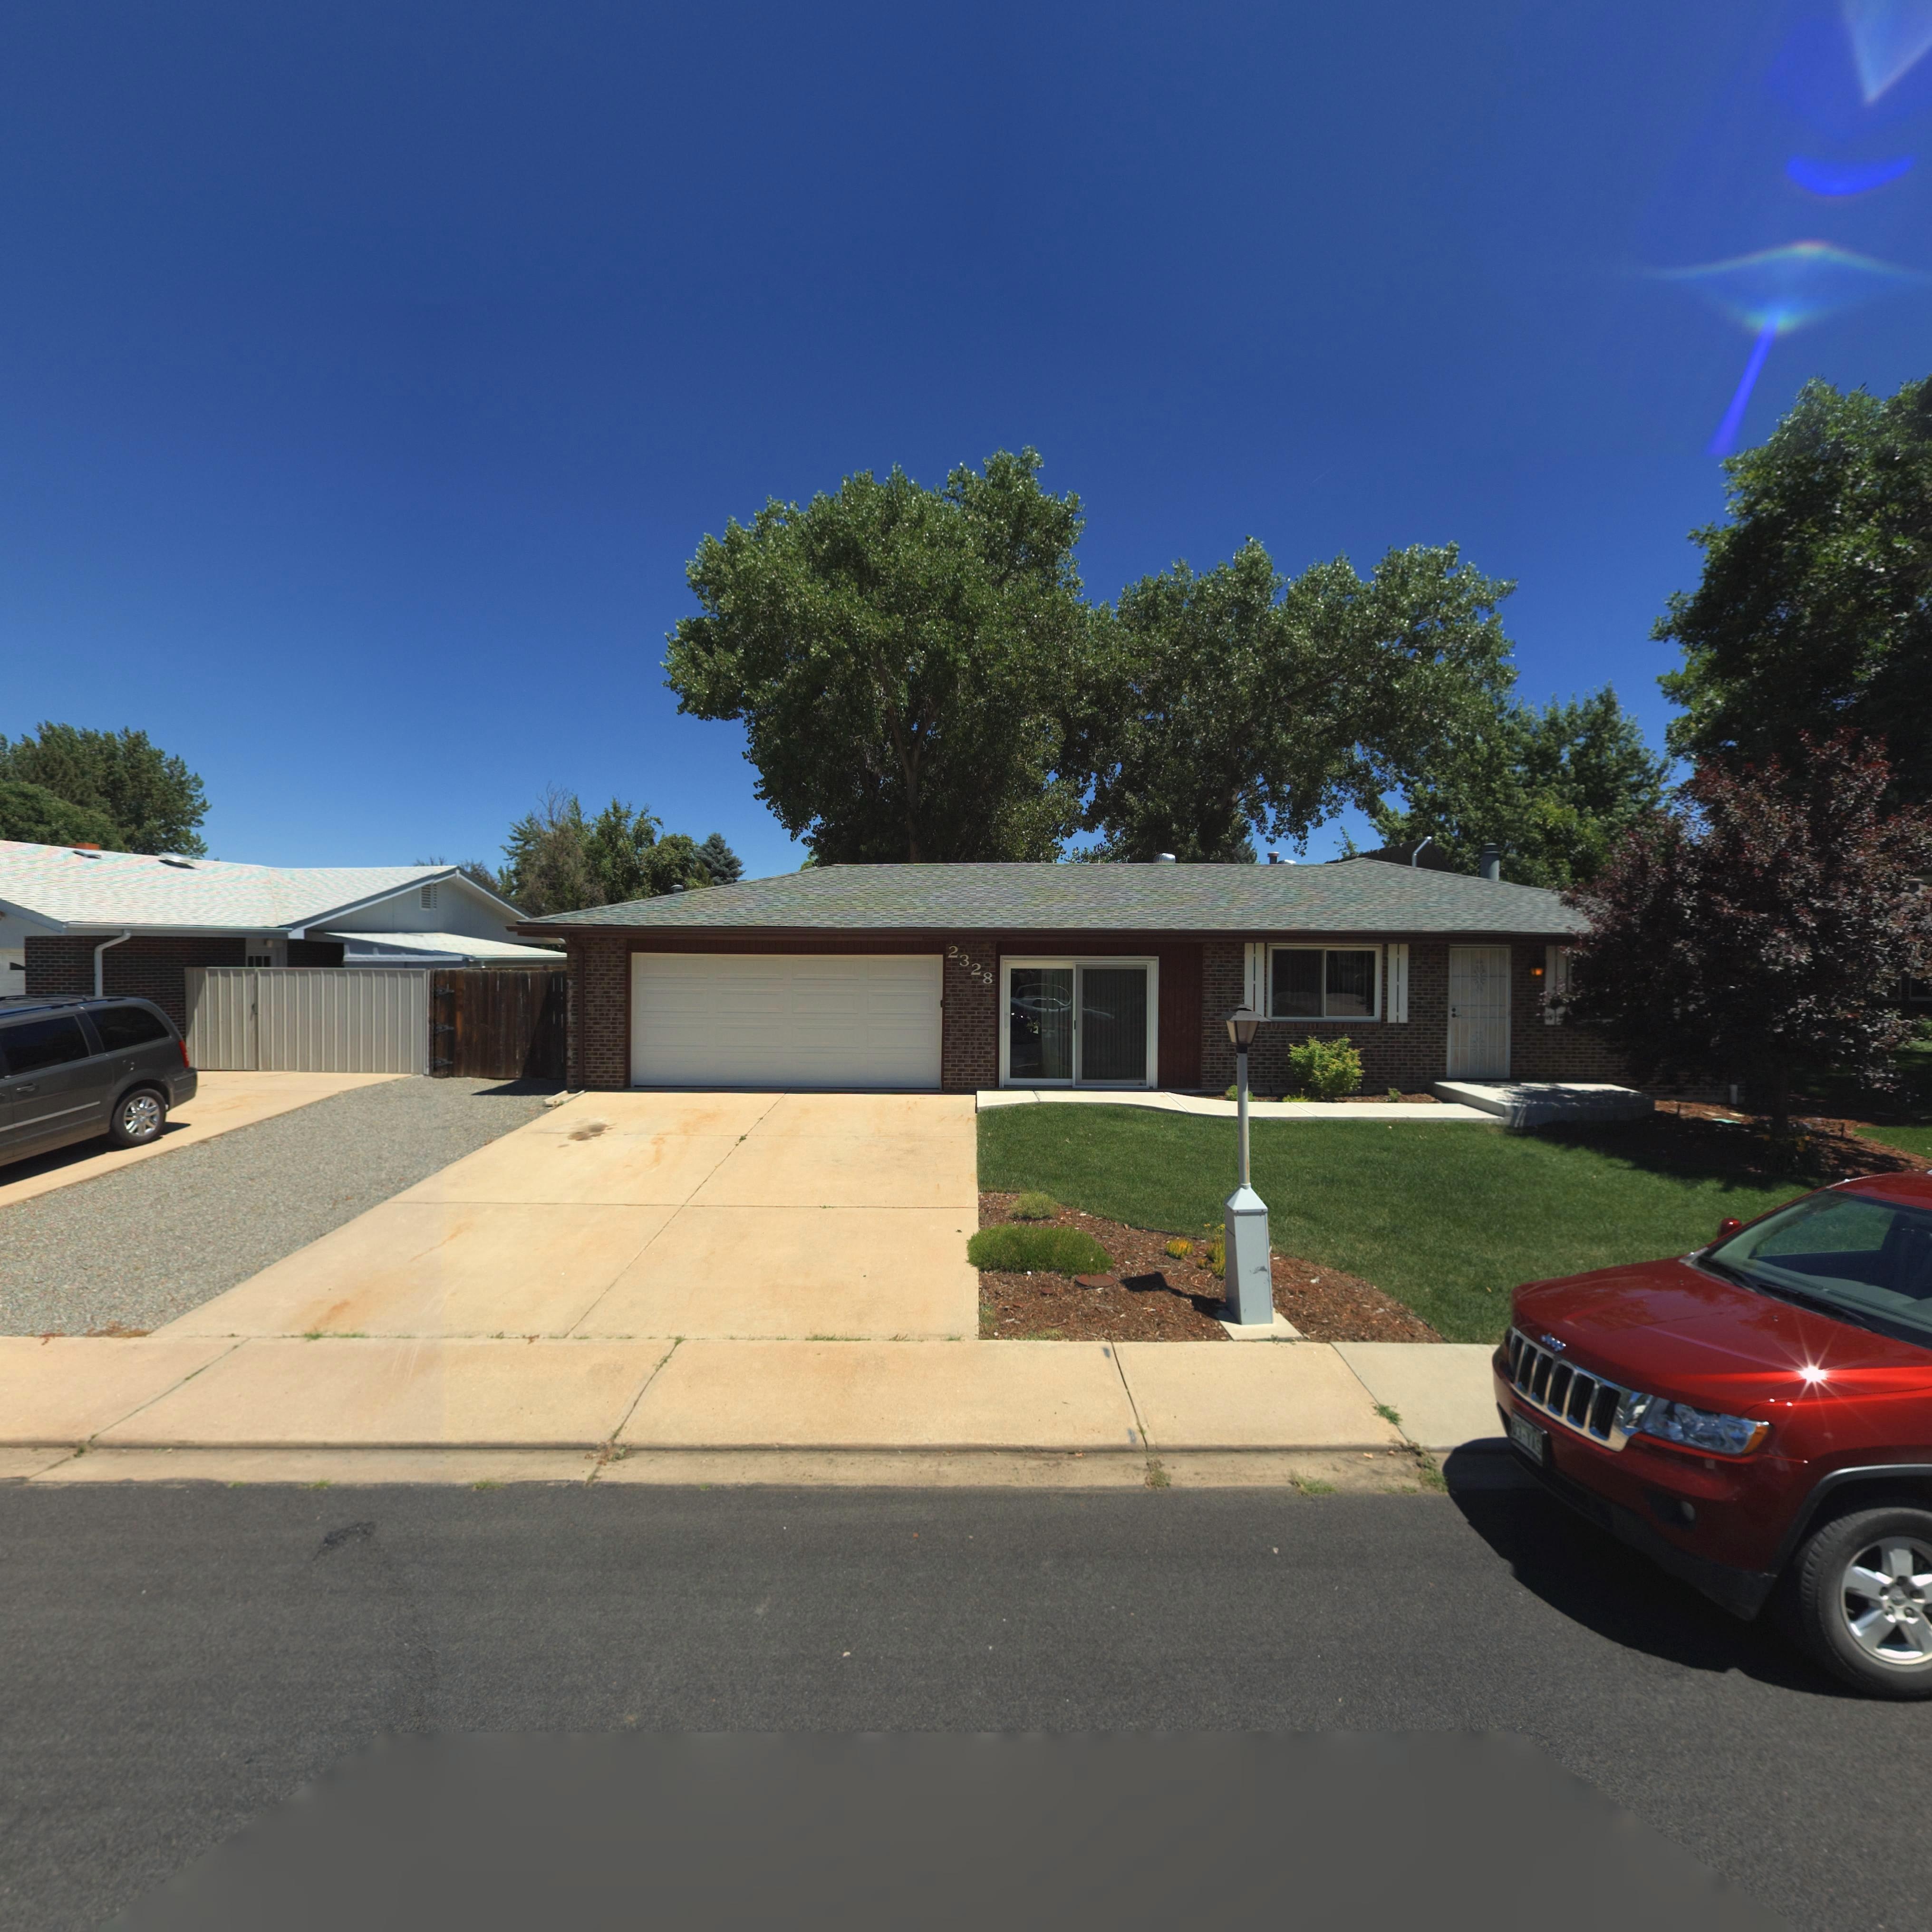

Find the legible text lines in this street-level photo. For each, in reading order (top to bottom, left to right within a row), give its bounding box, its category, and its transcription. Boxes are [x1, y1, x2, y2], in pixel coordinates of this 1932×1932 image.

[947, 946, 993, 984] StreetNumber: 2328